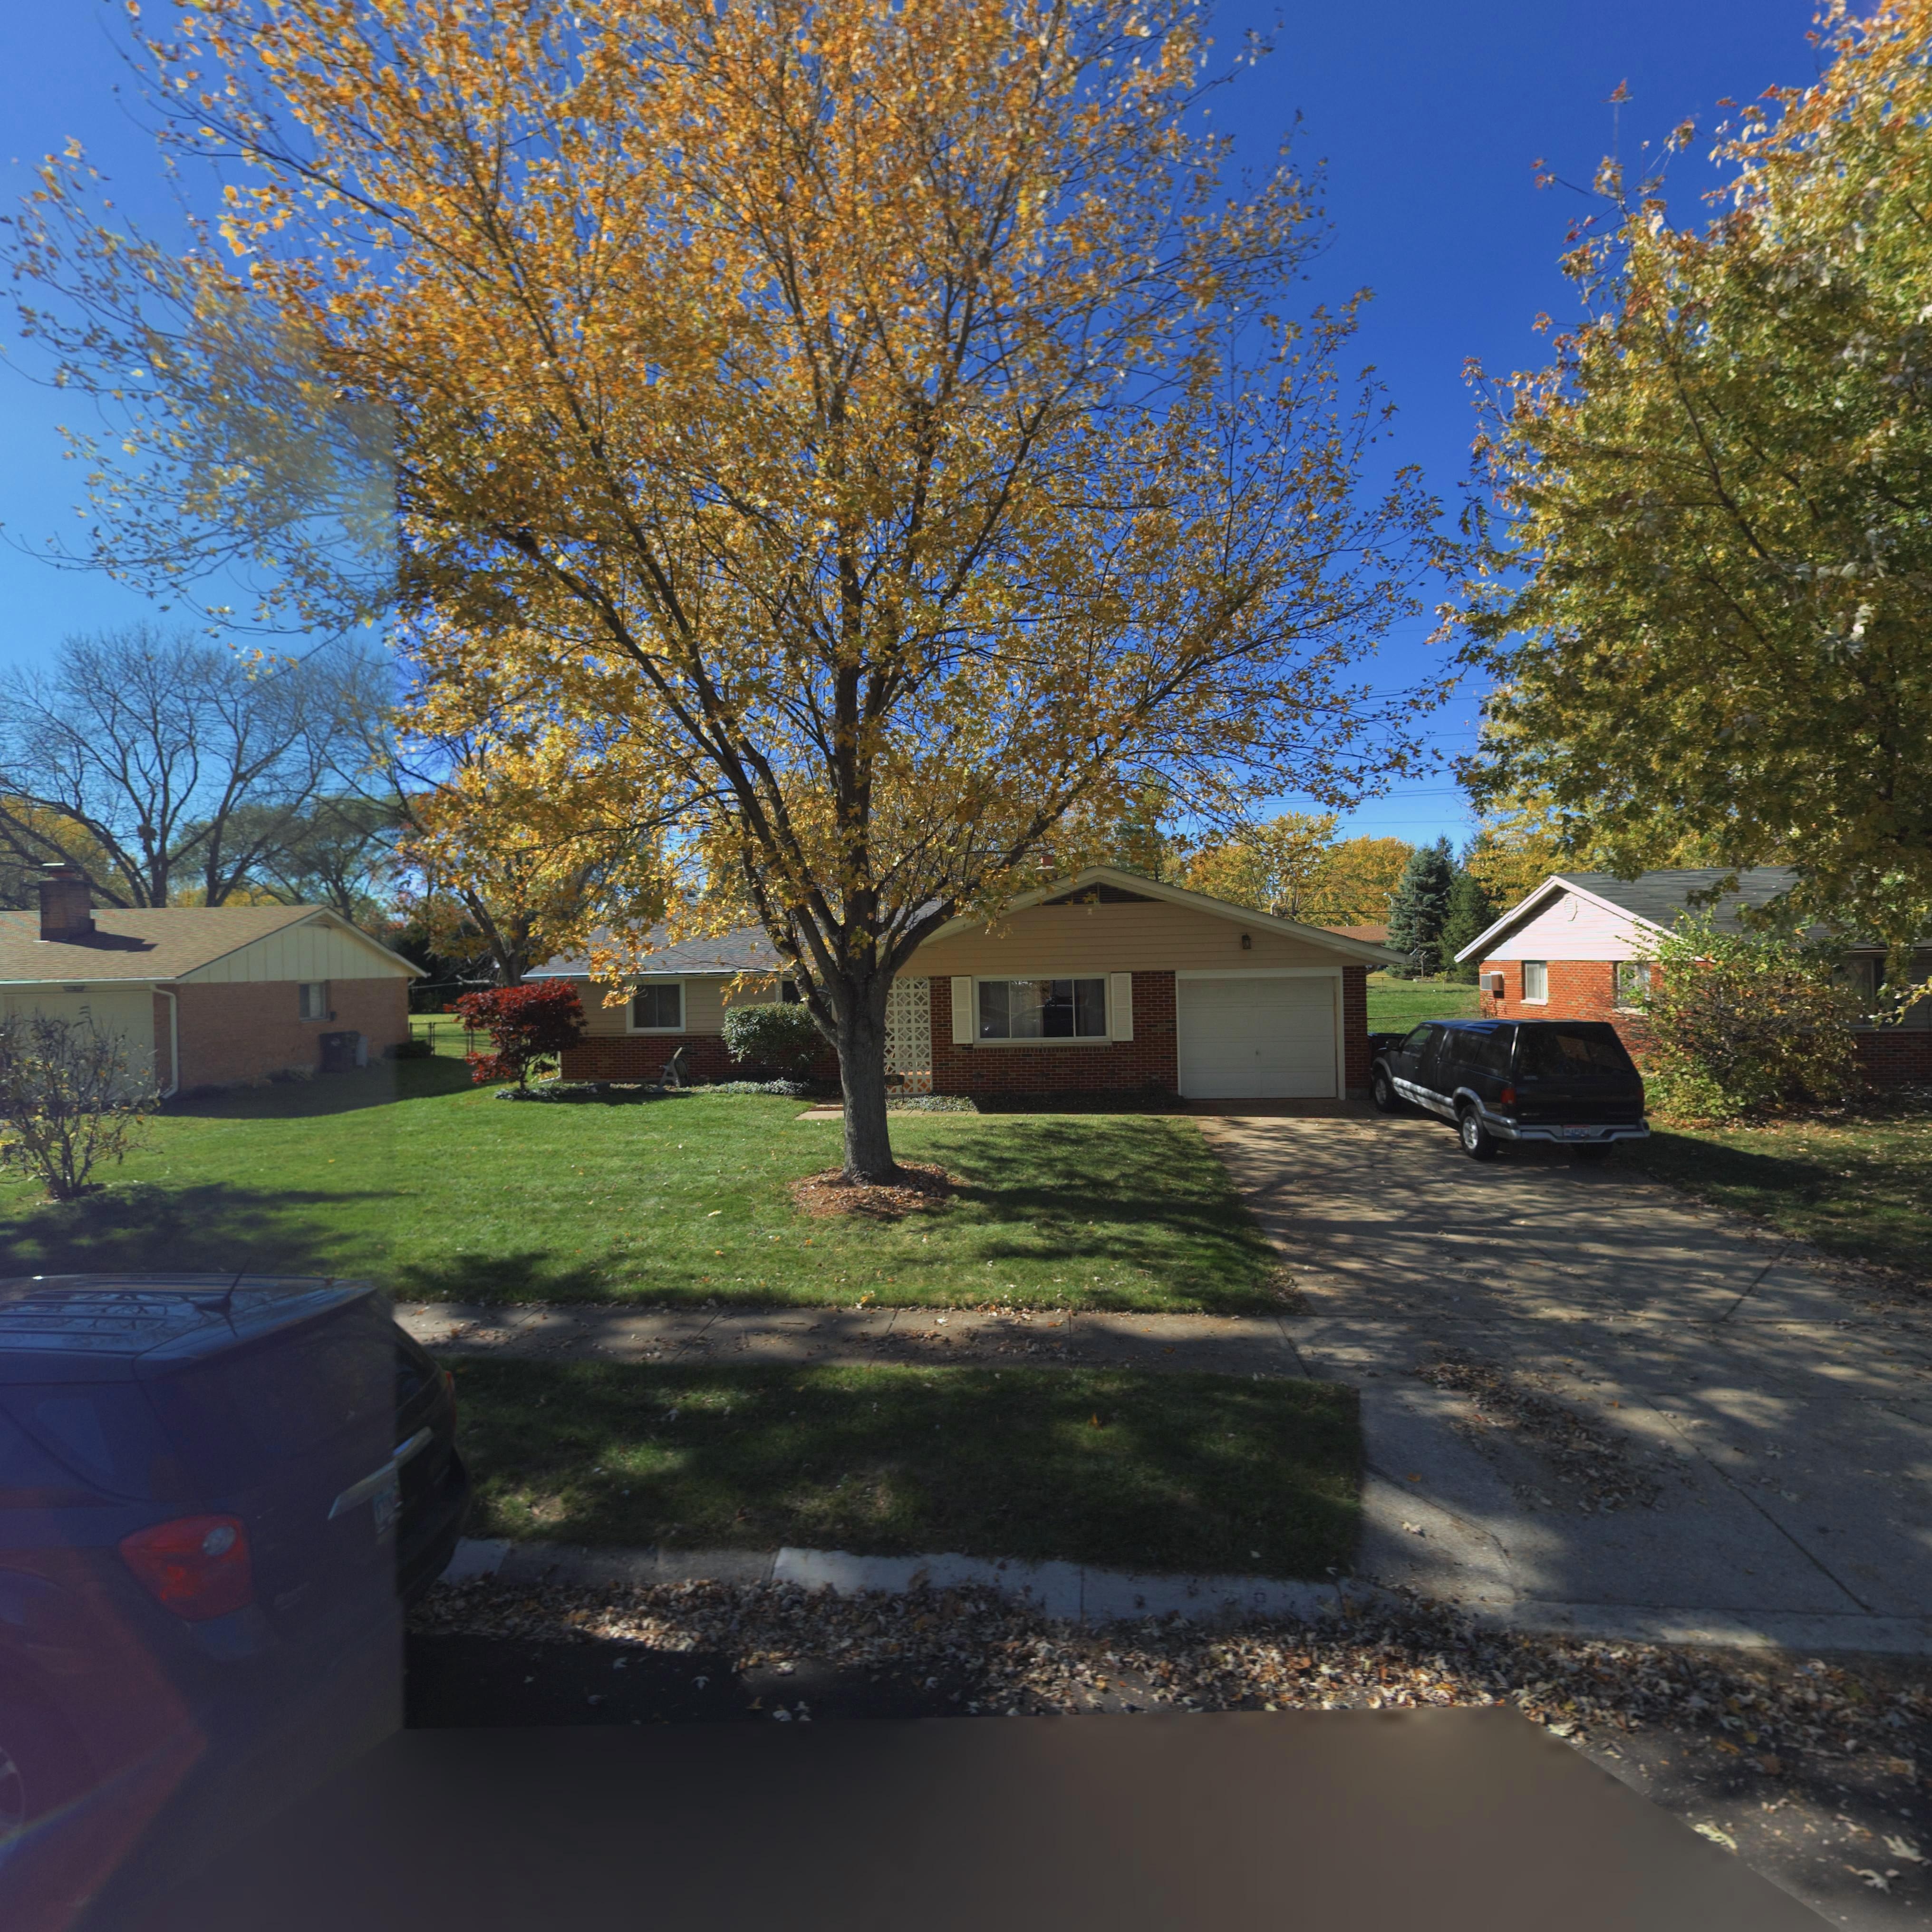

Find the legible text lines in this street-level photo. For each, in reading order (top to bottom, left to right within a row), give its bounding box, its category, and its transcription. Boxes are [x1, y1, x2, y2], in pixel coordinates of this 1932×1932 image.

[890, 1076, 898, 1082] StreetNumber: *28